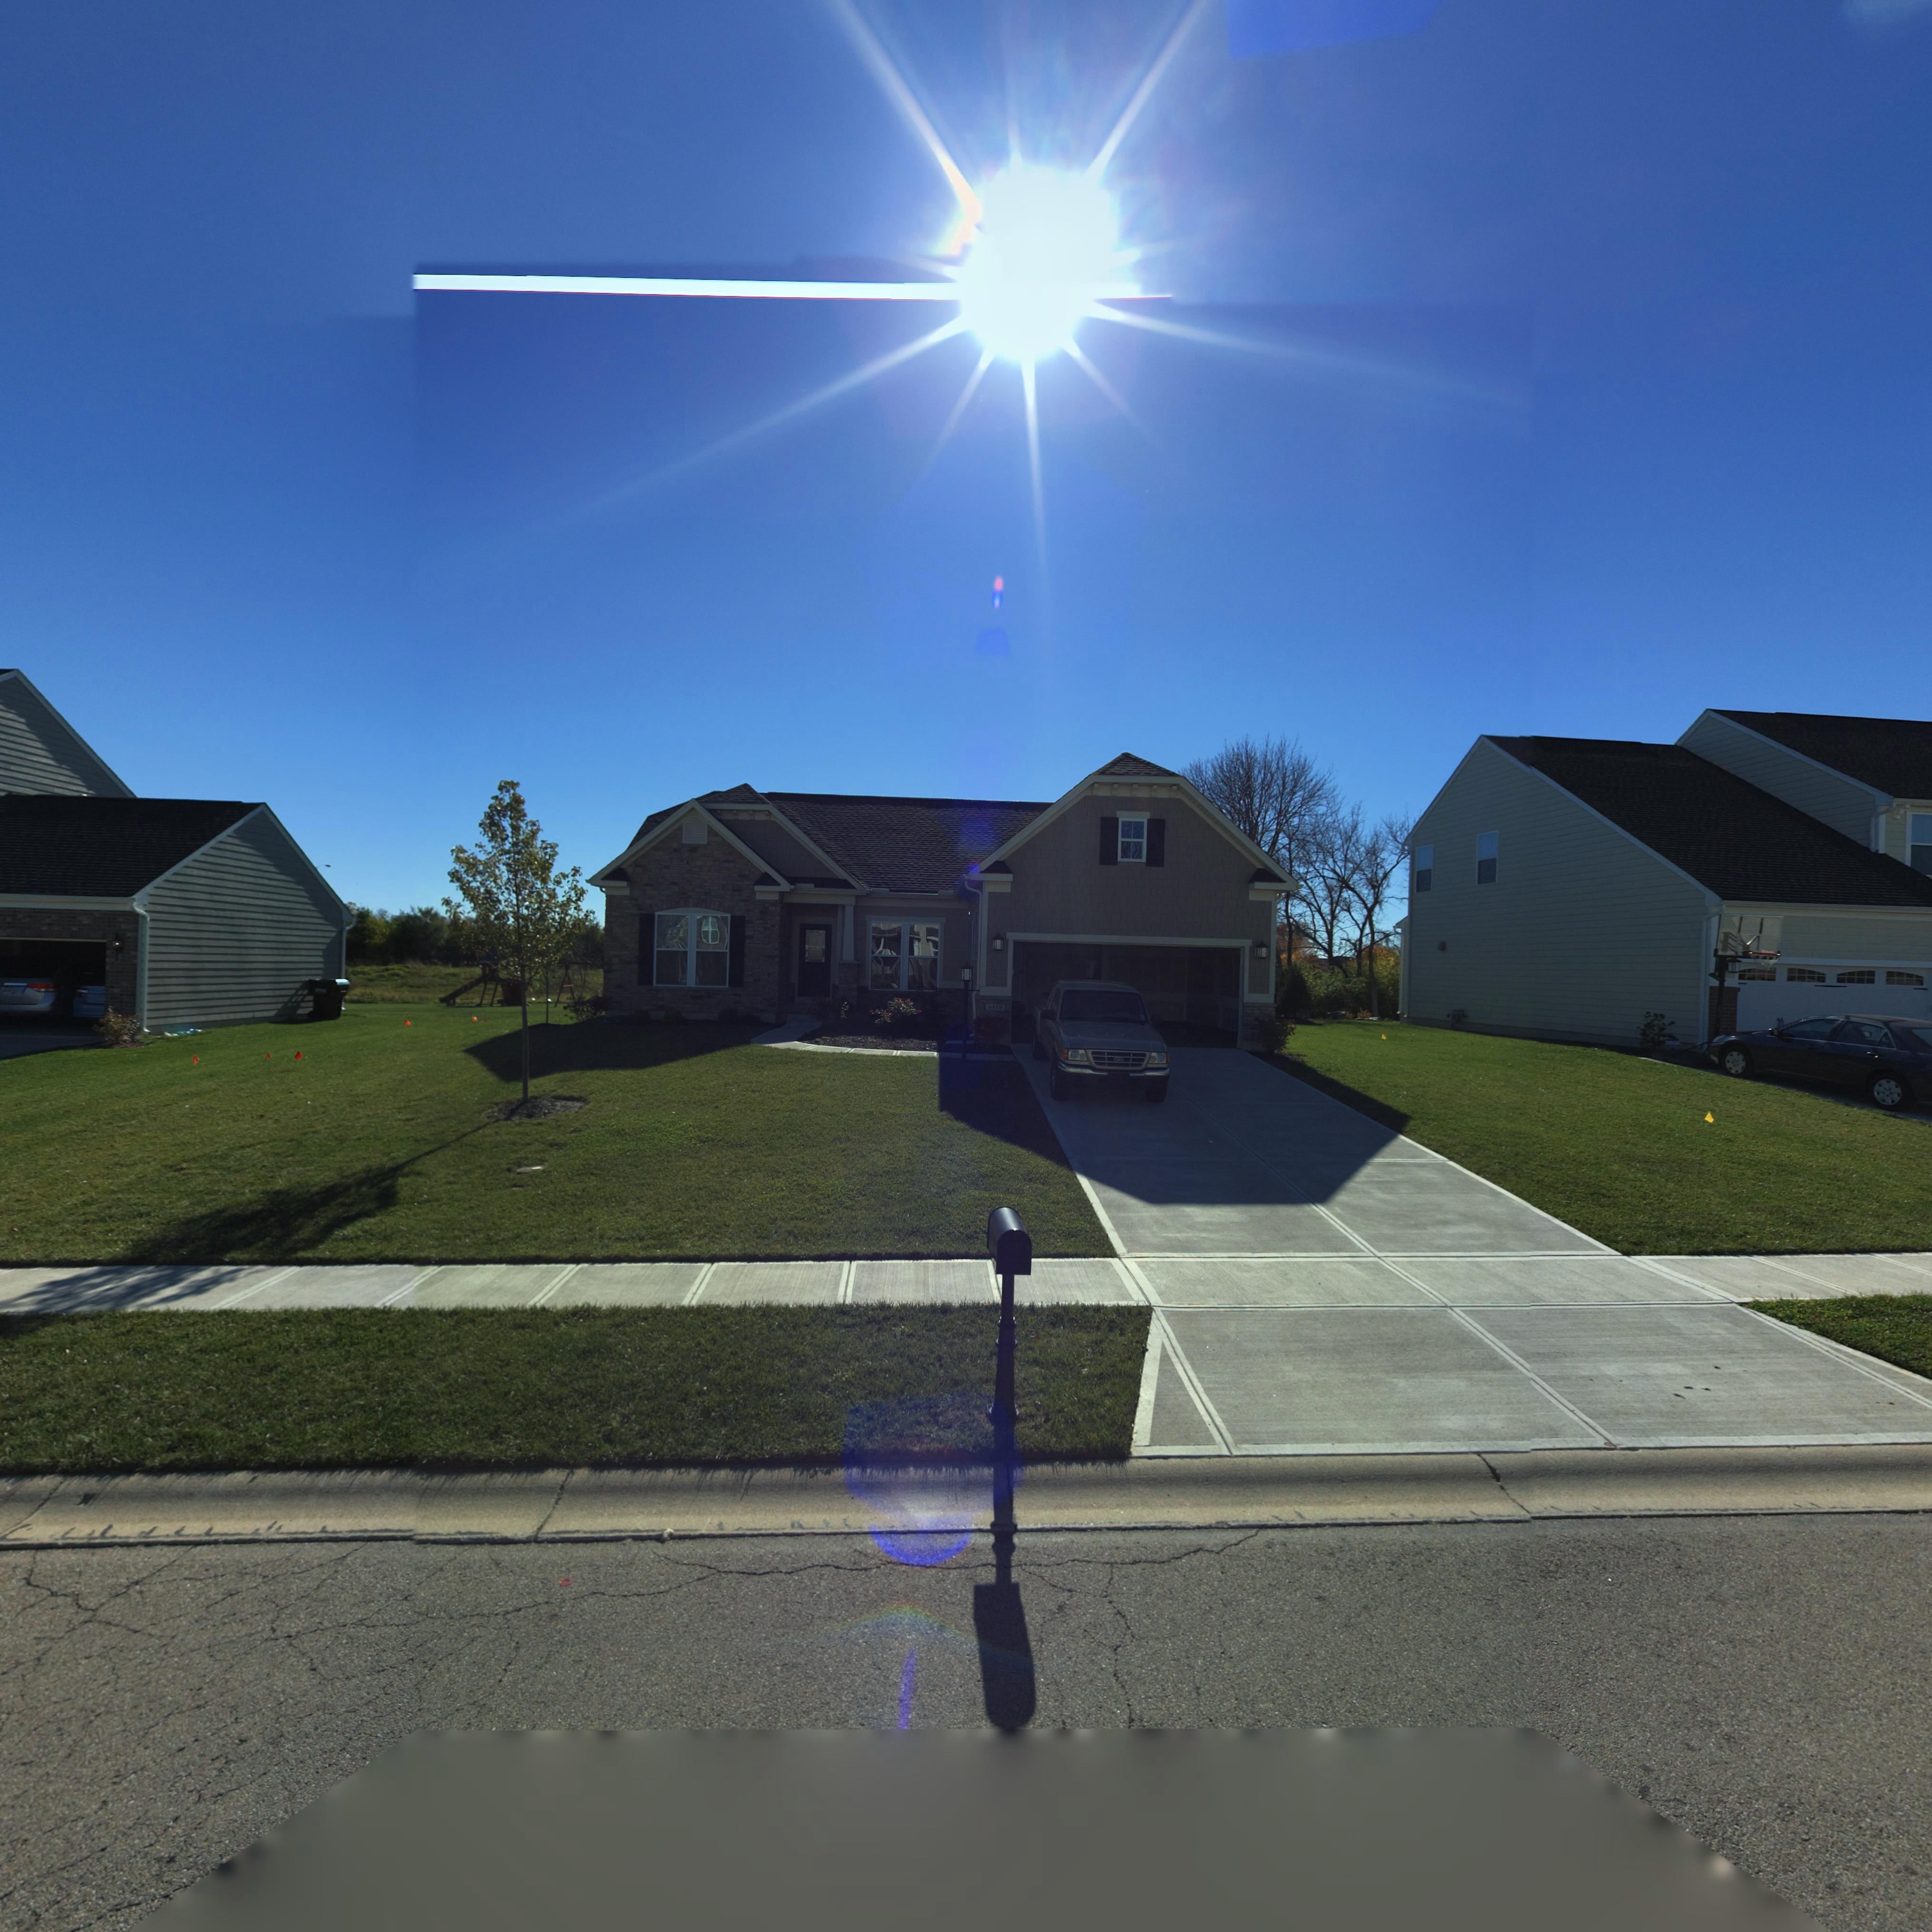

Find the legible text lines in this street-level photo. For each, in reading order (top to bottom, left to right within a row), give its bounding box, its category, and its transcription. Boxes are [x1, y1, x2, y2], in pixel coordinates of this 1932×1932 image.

[988, 1005, 1003, 1010] StreetNumber: 6850